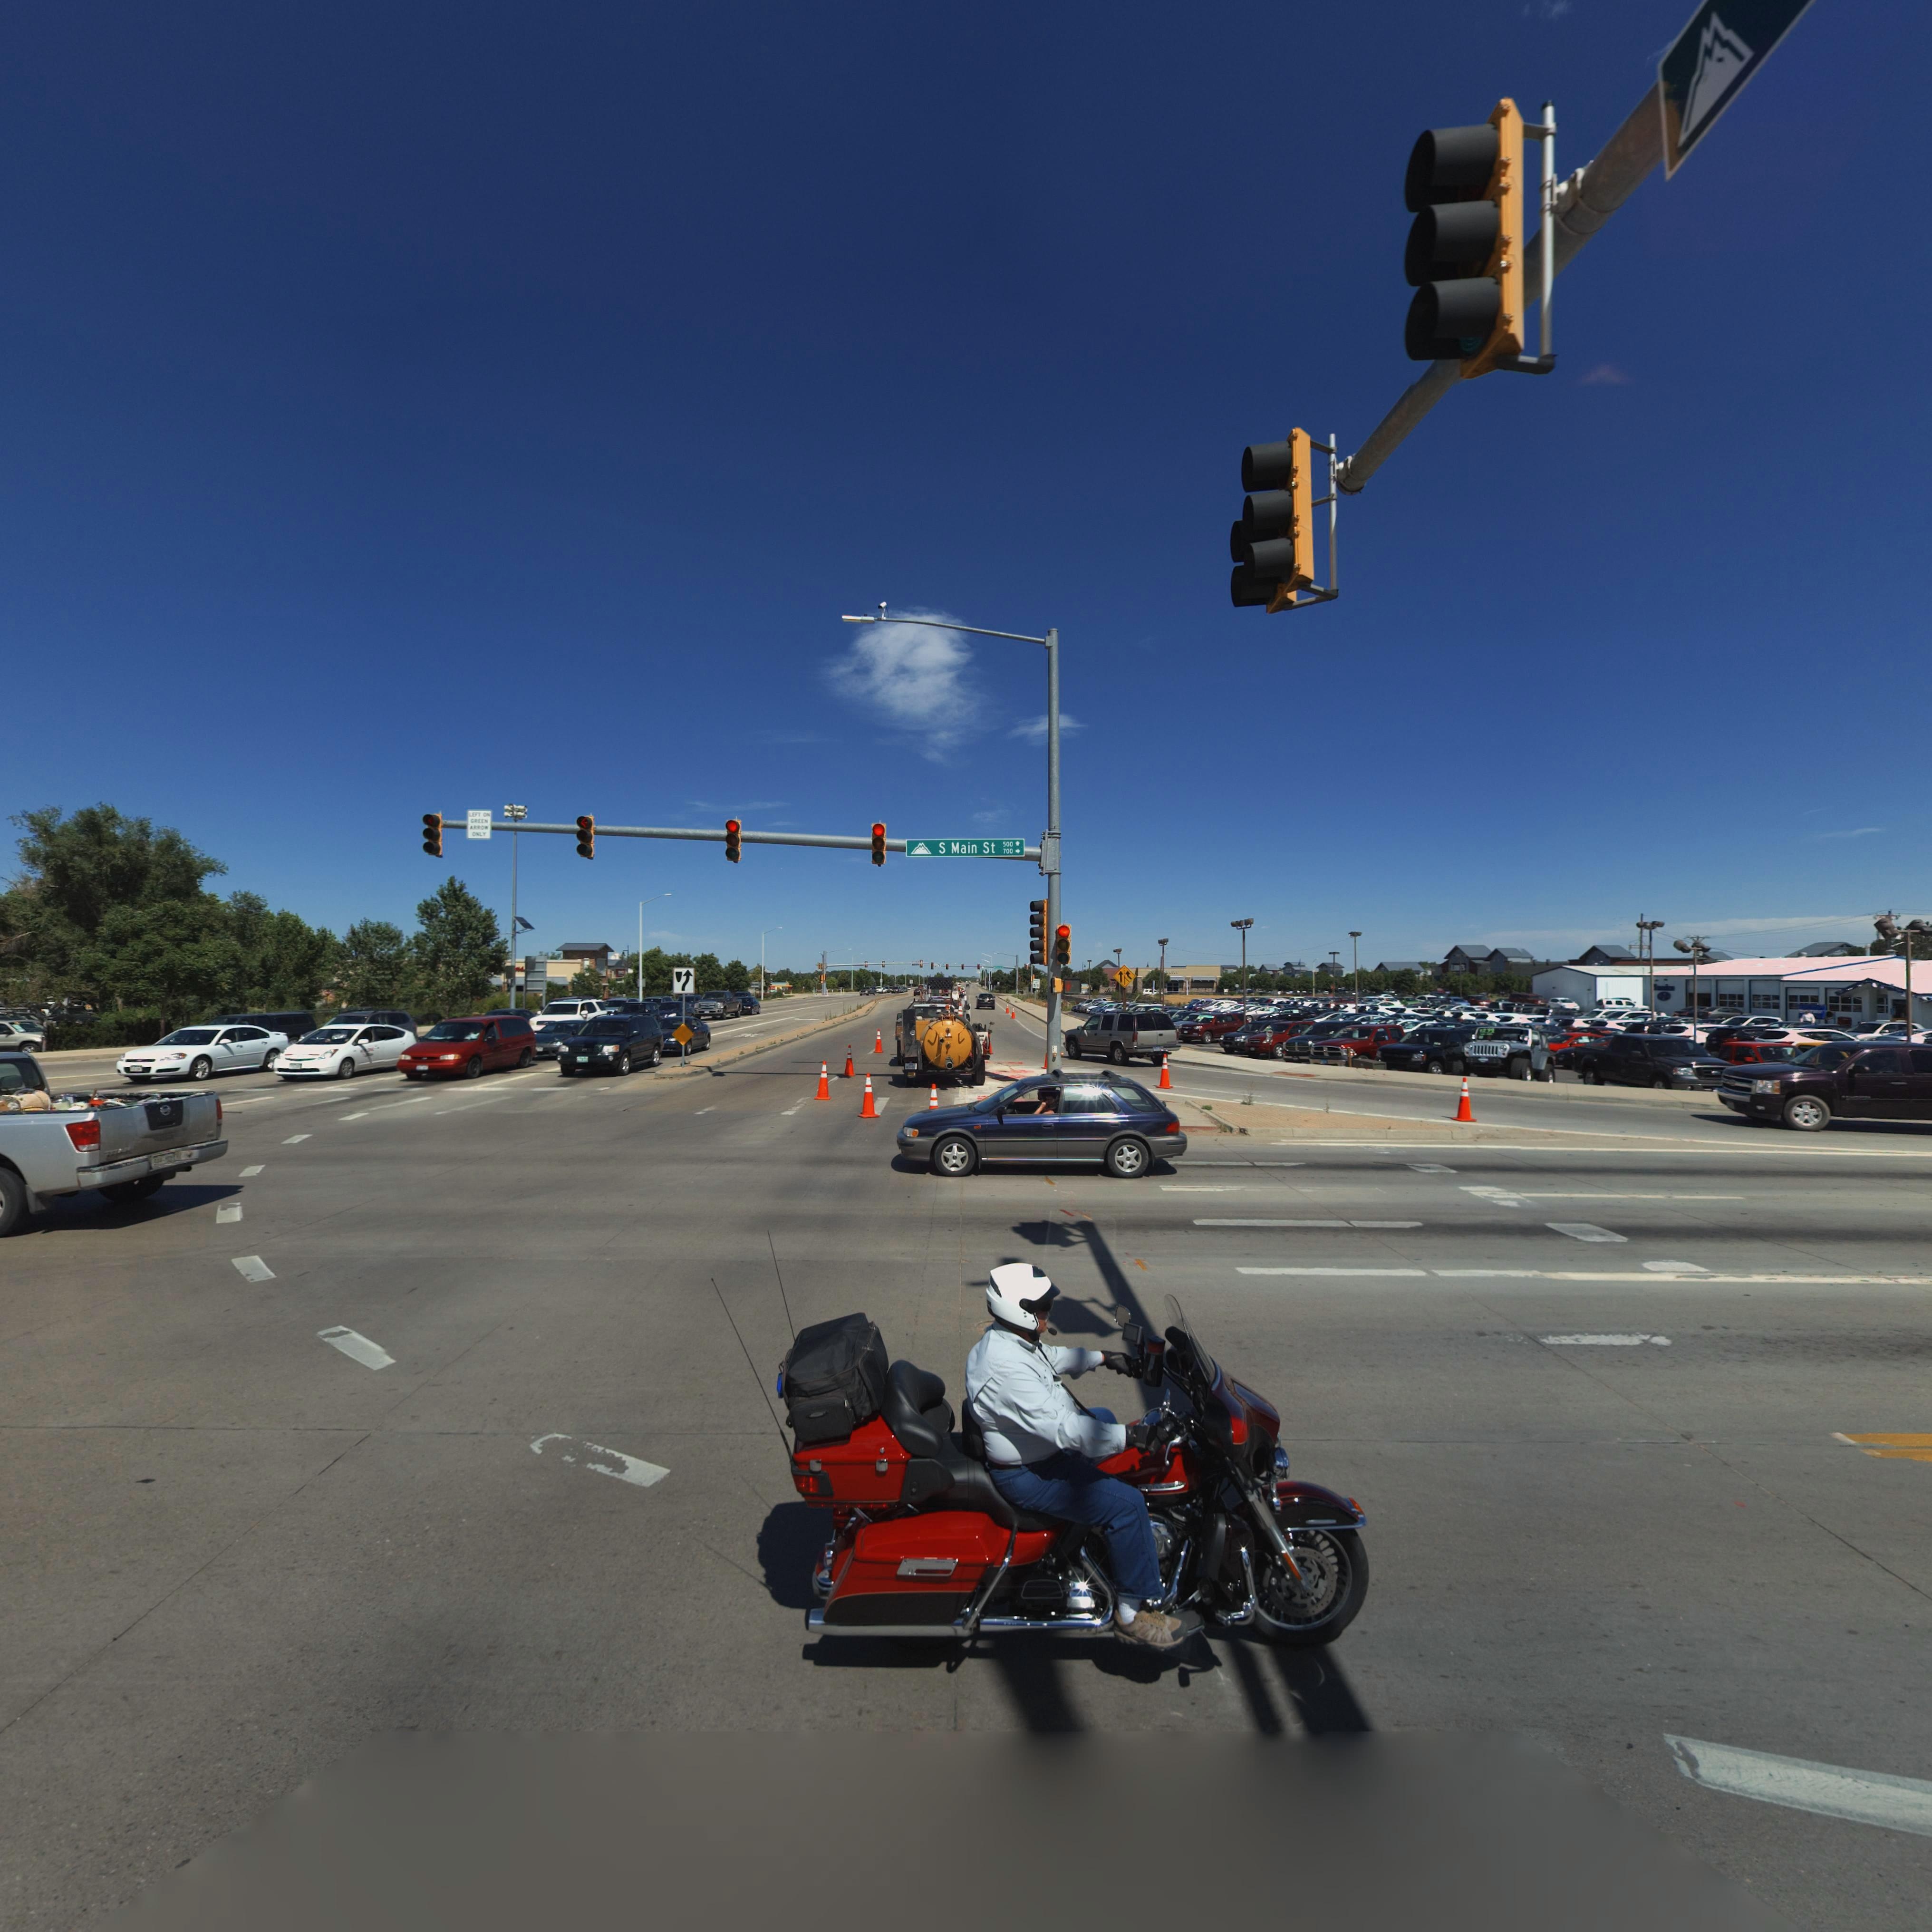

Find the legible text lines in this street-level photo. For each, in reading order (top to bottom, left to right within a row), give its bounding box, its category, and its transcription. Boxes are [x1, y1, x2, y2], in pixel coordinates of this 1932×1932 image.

[938, 841, 995, 853] StreetName: S Main St
[1002, 841, 1014, 847] StreetNumberRange: 500
[1002, 848, 1021, 854] StreetNumberRange: 700 ->